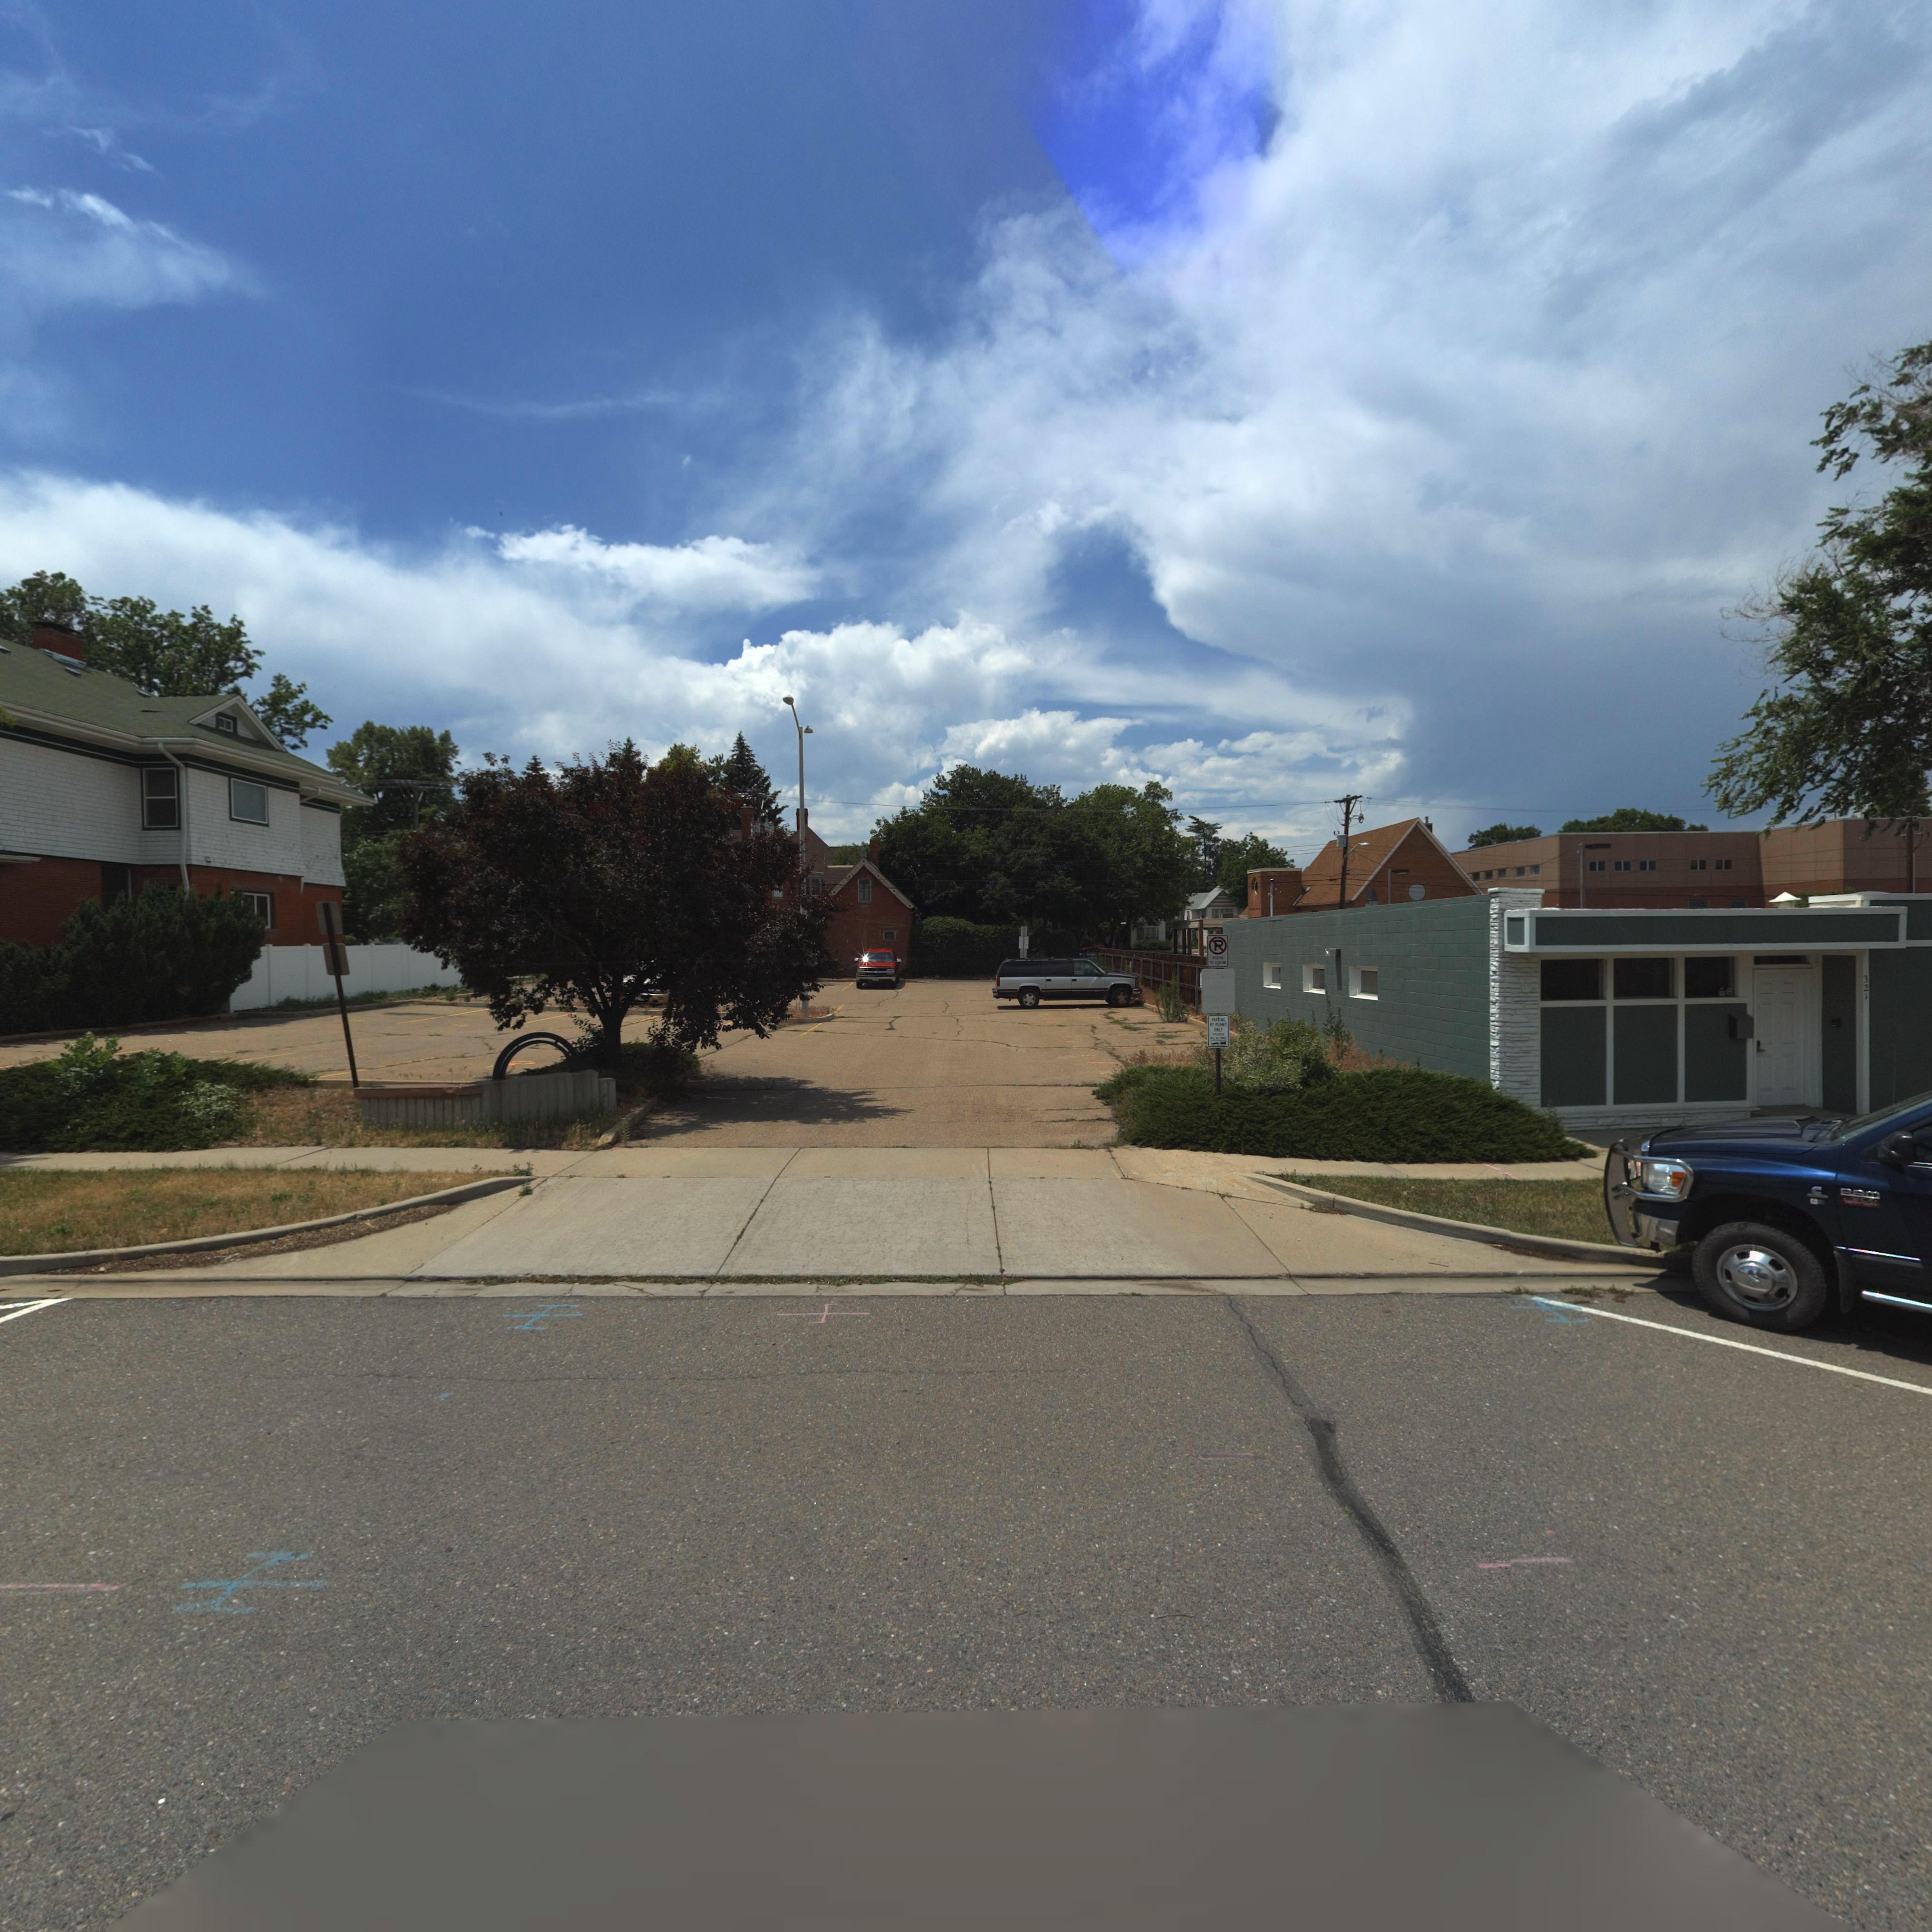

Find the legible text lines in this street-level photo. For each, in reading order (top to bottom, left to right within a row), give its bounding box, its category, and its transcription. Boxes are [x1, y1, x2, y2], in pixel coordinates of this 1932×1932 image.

[1863, 975, 1869, 1000] StreetNumber: 321